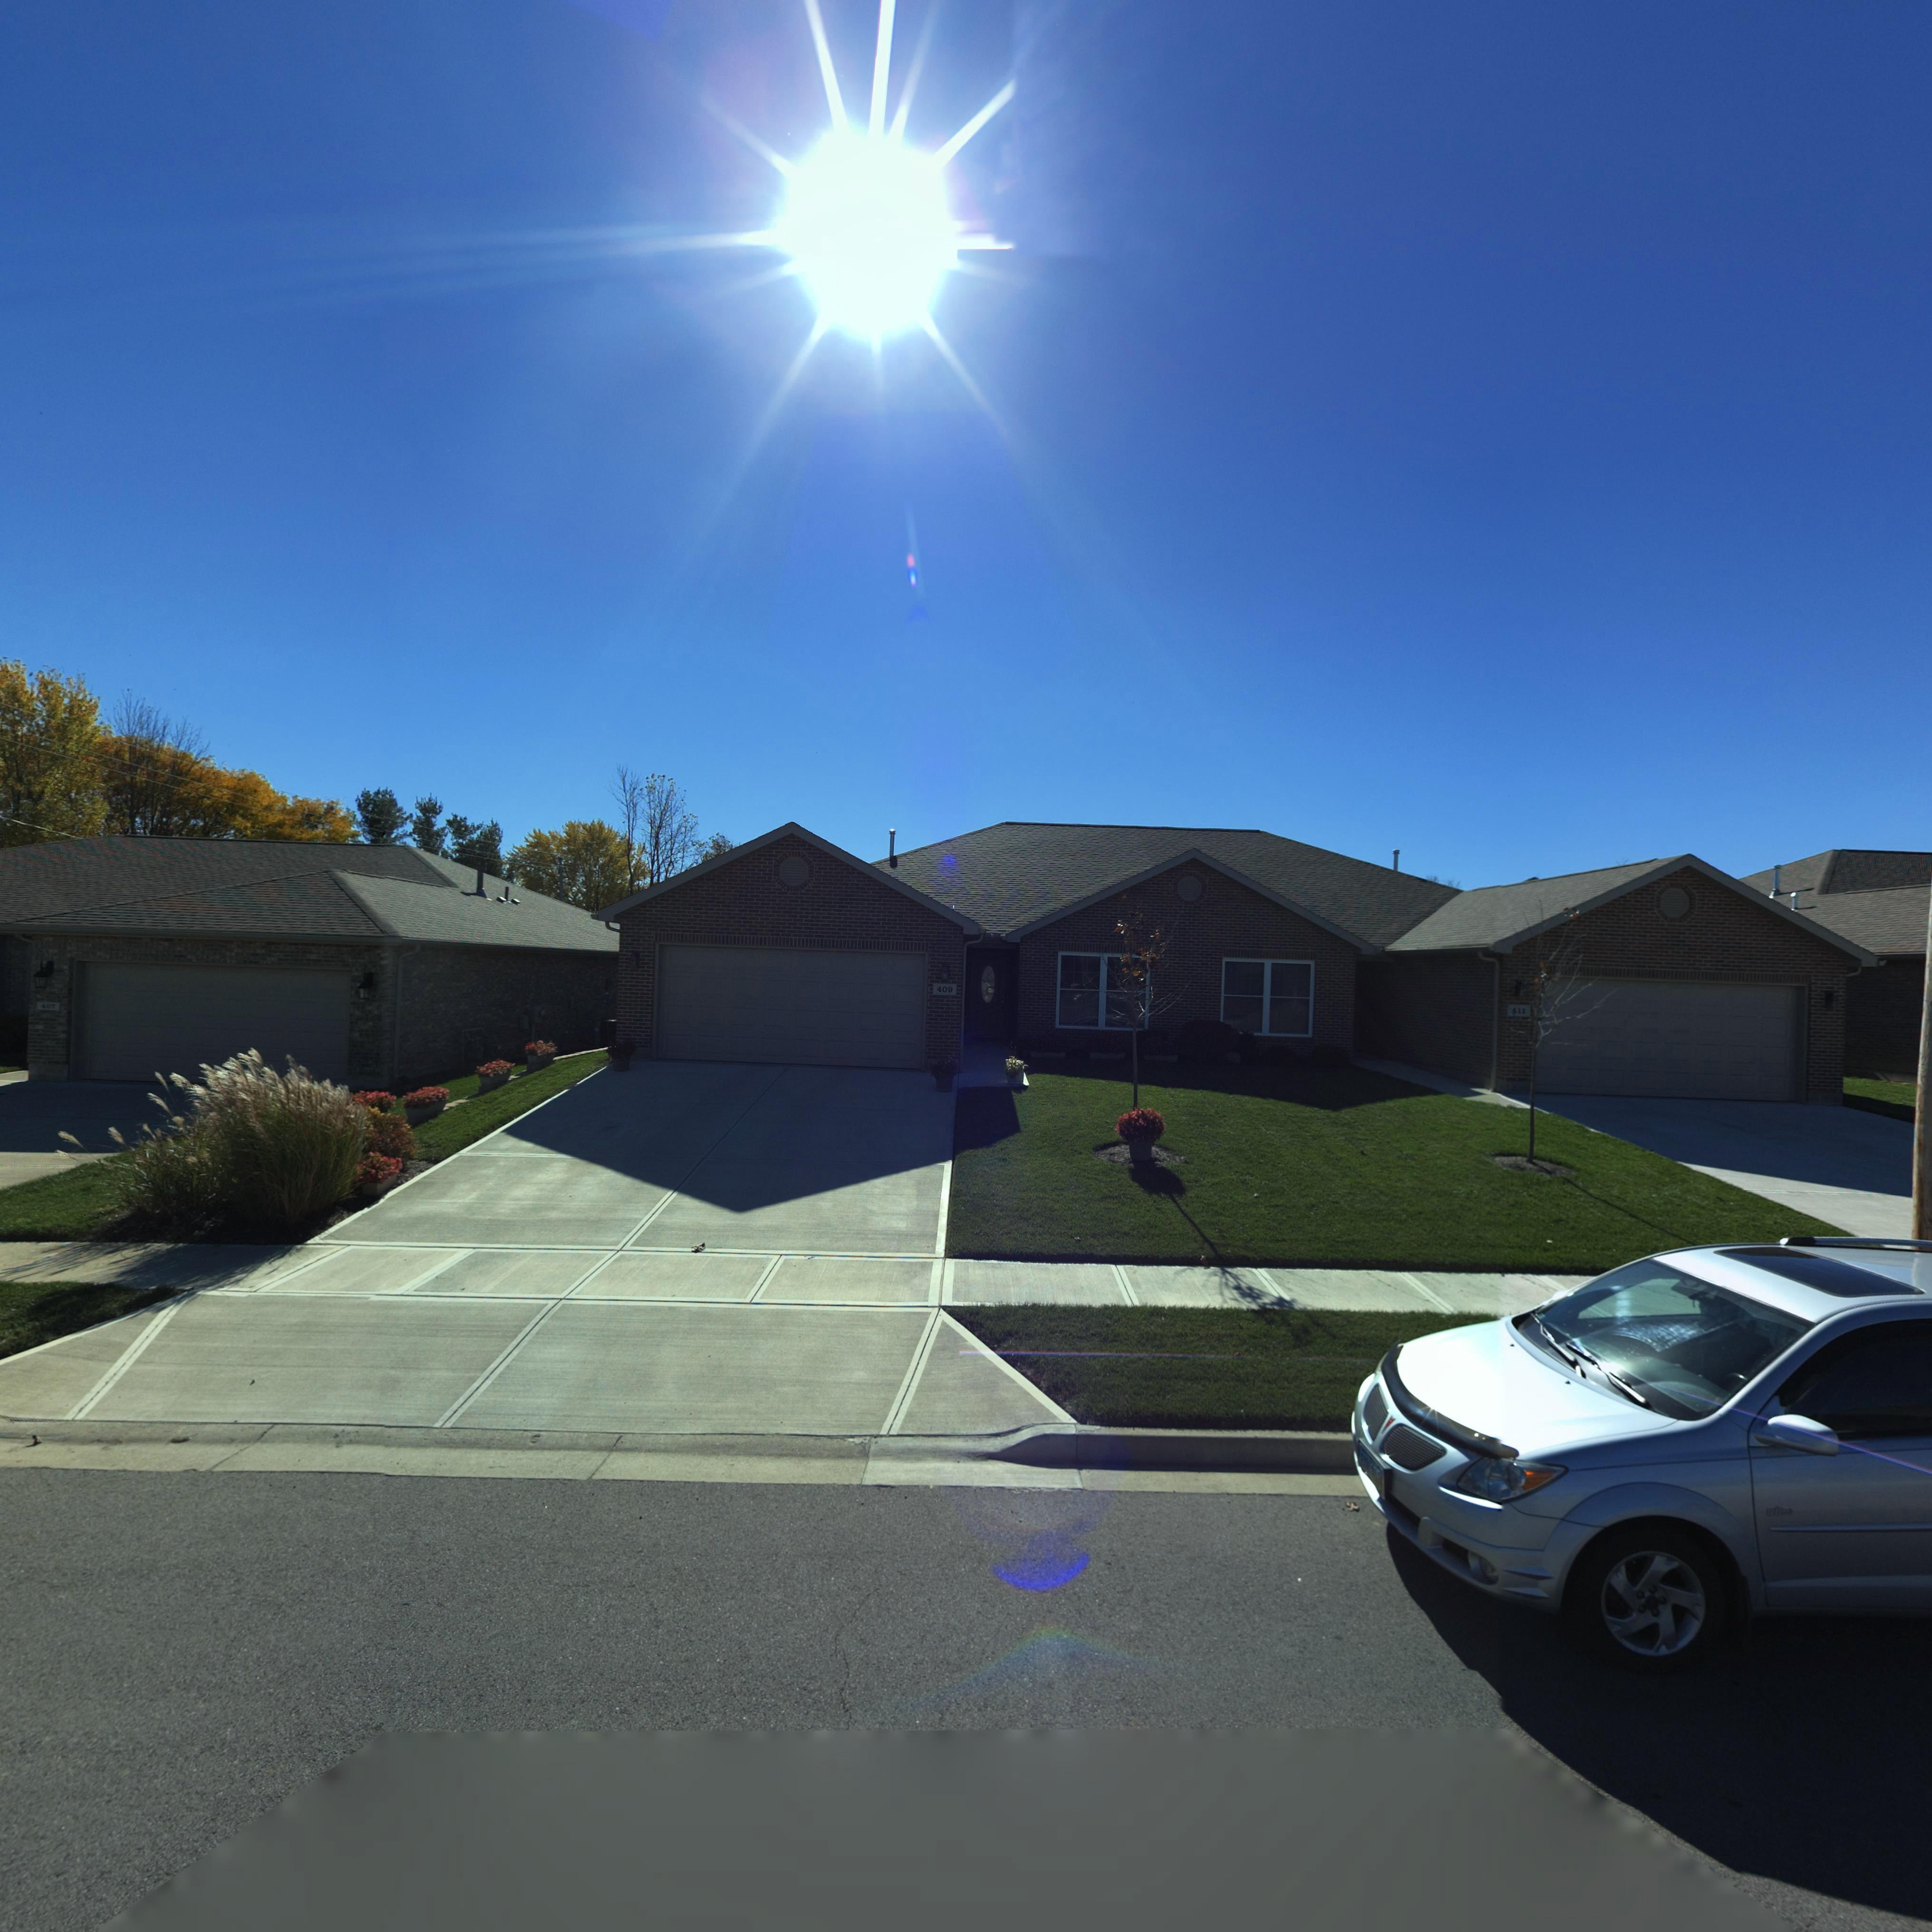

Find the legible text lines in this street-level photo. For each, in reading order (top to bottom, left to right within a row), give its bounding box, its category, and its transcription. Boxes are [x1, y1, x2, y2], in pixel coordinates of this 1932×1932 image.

[936, 985, 954, 993] StreetNumber: 409
[40, 1003, 56, 1010] StreetNumber: 407
[1511, 1006, 1526, 1015] StreetNumber: 411